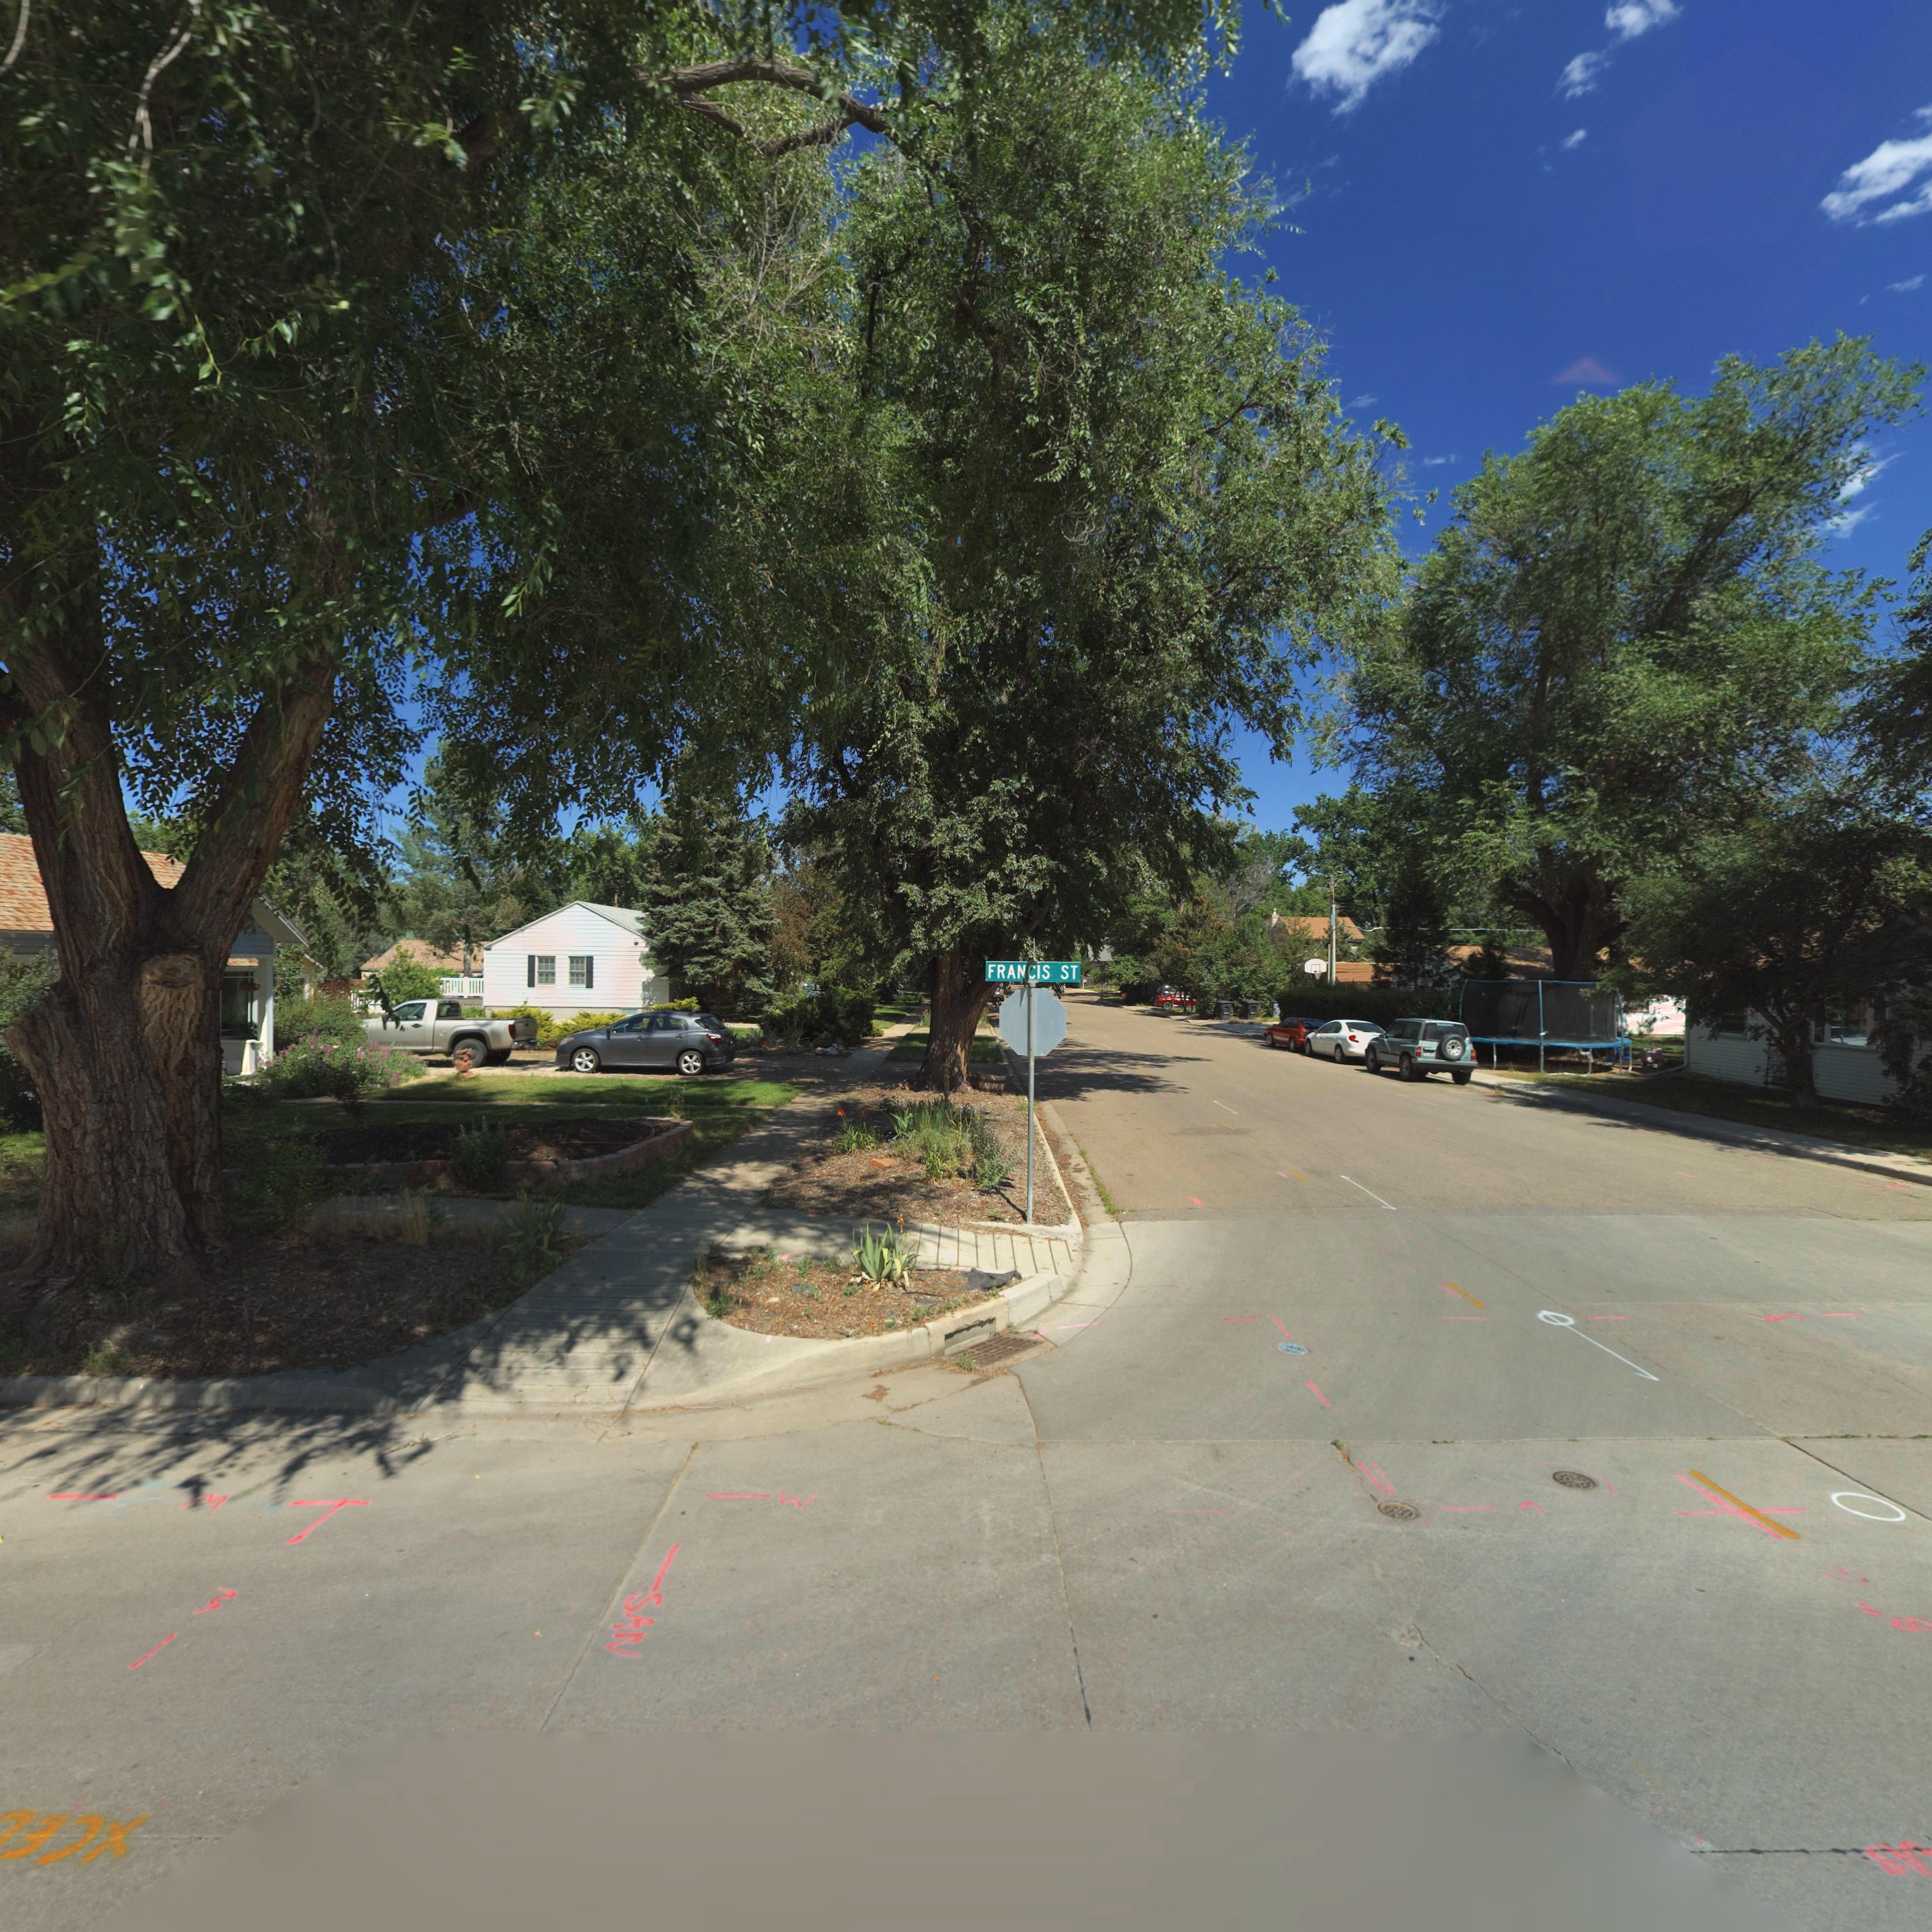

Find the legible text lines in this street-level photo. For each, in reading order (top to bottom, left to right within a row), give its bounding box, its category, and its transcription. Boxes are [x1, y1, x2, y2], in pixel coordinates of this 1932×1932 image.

[988, 964, 1079, 979] StreetName: FRANCIS ST